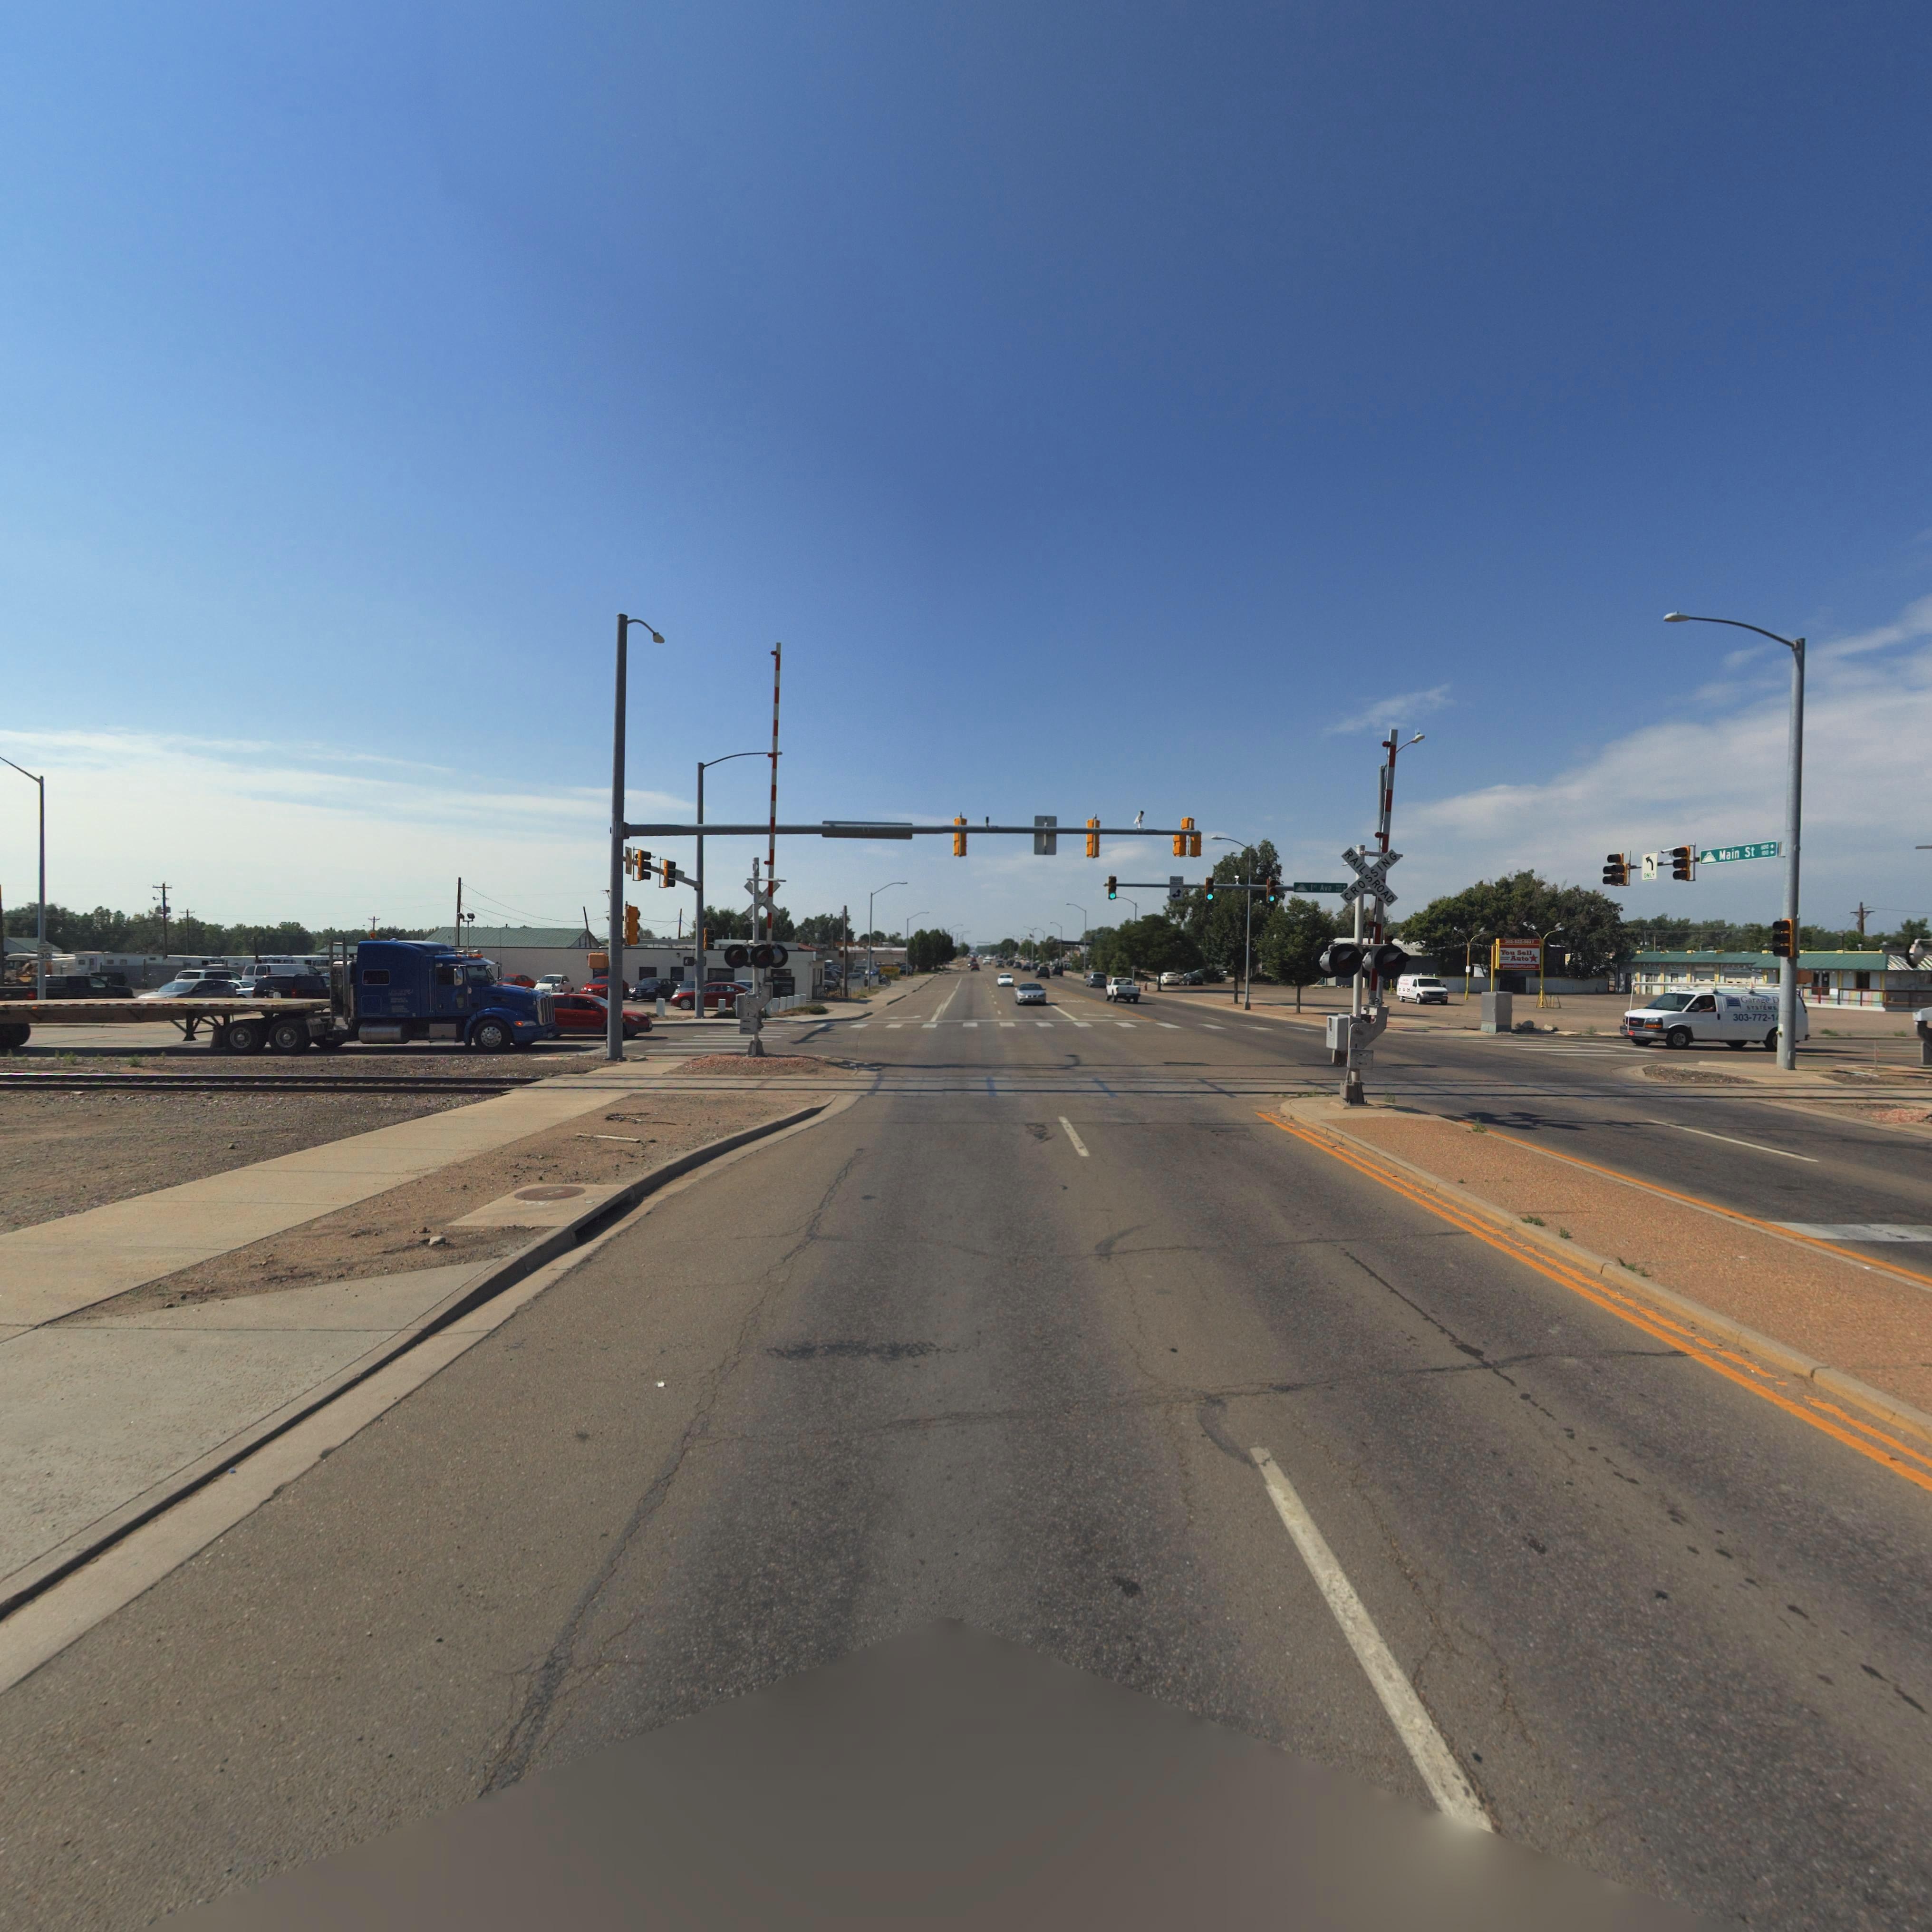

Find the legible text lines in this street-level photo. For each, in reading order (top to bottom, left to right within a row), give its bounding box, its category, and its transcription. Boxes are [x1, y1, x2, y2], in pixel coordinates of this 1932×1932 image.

[1719, 846, 1755, 860] StreetName: Main St
[1761, 850, 1775, 856] StreetNumberRange: *00 ->
[1310, 883, 1332, 891] StreetName: 1st Ave
[1500, 950, 1532, 955] BusinessName: You Sell
[1510, 956, 1529, 961] BusinessName: Auto
[882, 968, 896, 973] BusinessName: H****